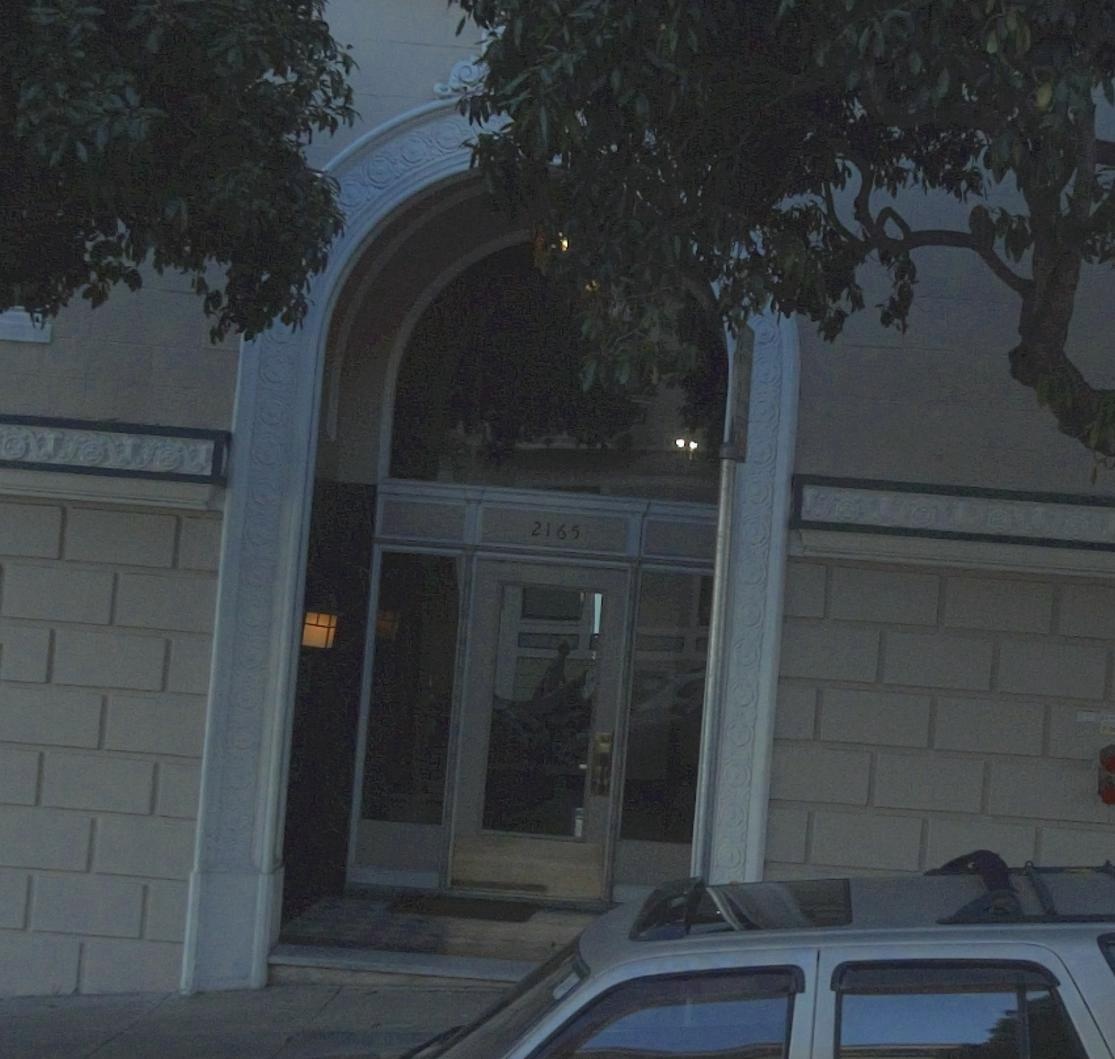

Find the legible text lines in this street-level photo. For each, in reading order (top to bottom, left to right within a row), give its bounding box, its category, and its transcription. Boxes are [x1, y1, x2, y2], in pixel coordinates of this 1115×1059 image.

[529, 520, 582, 543] StreetNumber: 2165